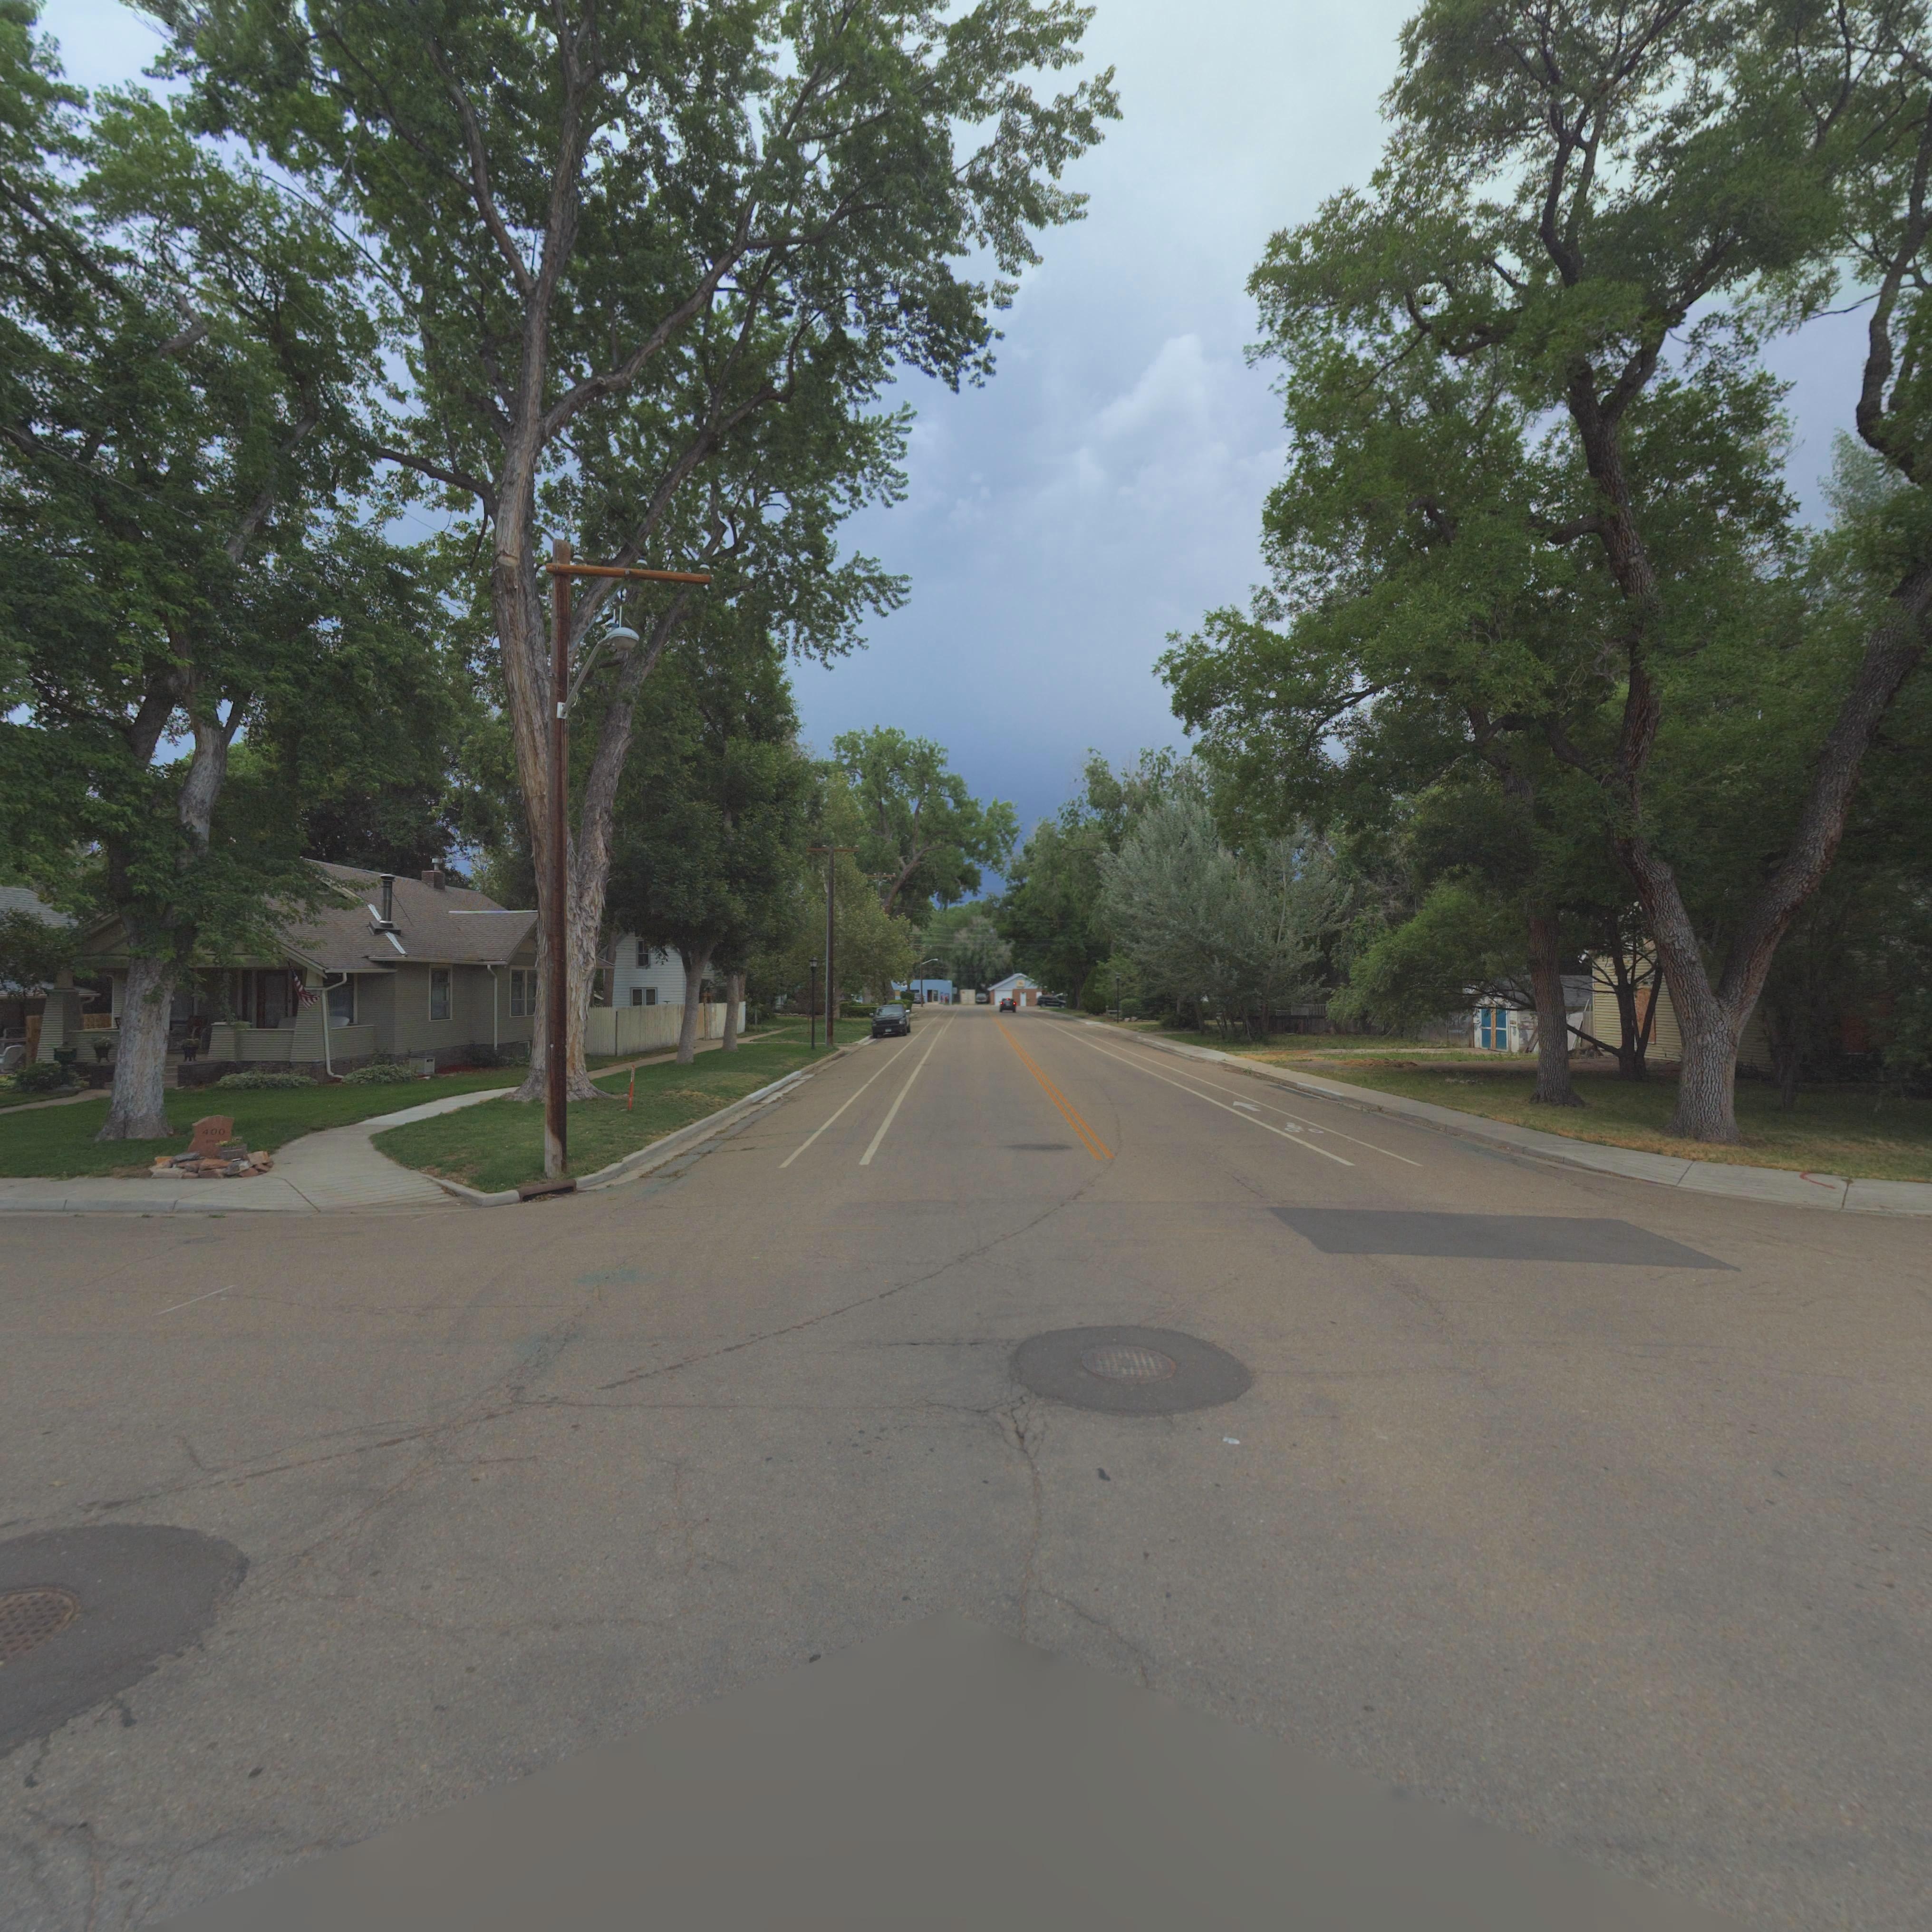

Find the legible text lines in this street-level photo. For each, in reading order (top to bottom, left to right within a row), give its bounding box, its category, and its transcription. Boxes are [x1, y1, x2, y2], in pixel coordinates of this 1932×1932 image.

[202, 1128, 225, 1136] StreetNumber: 400